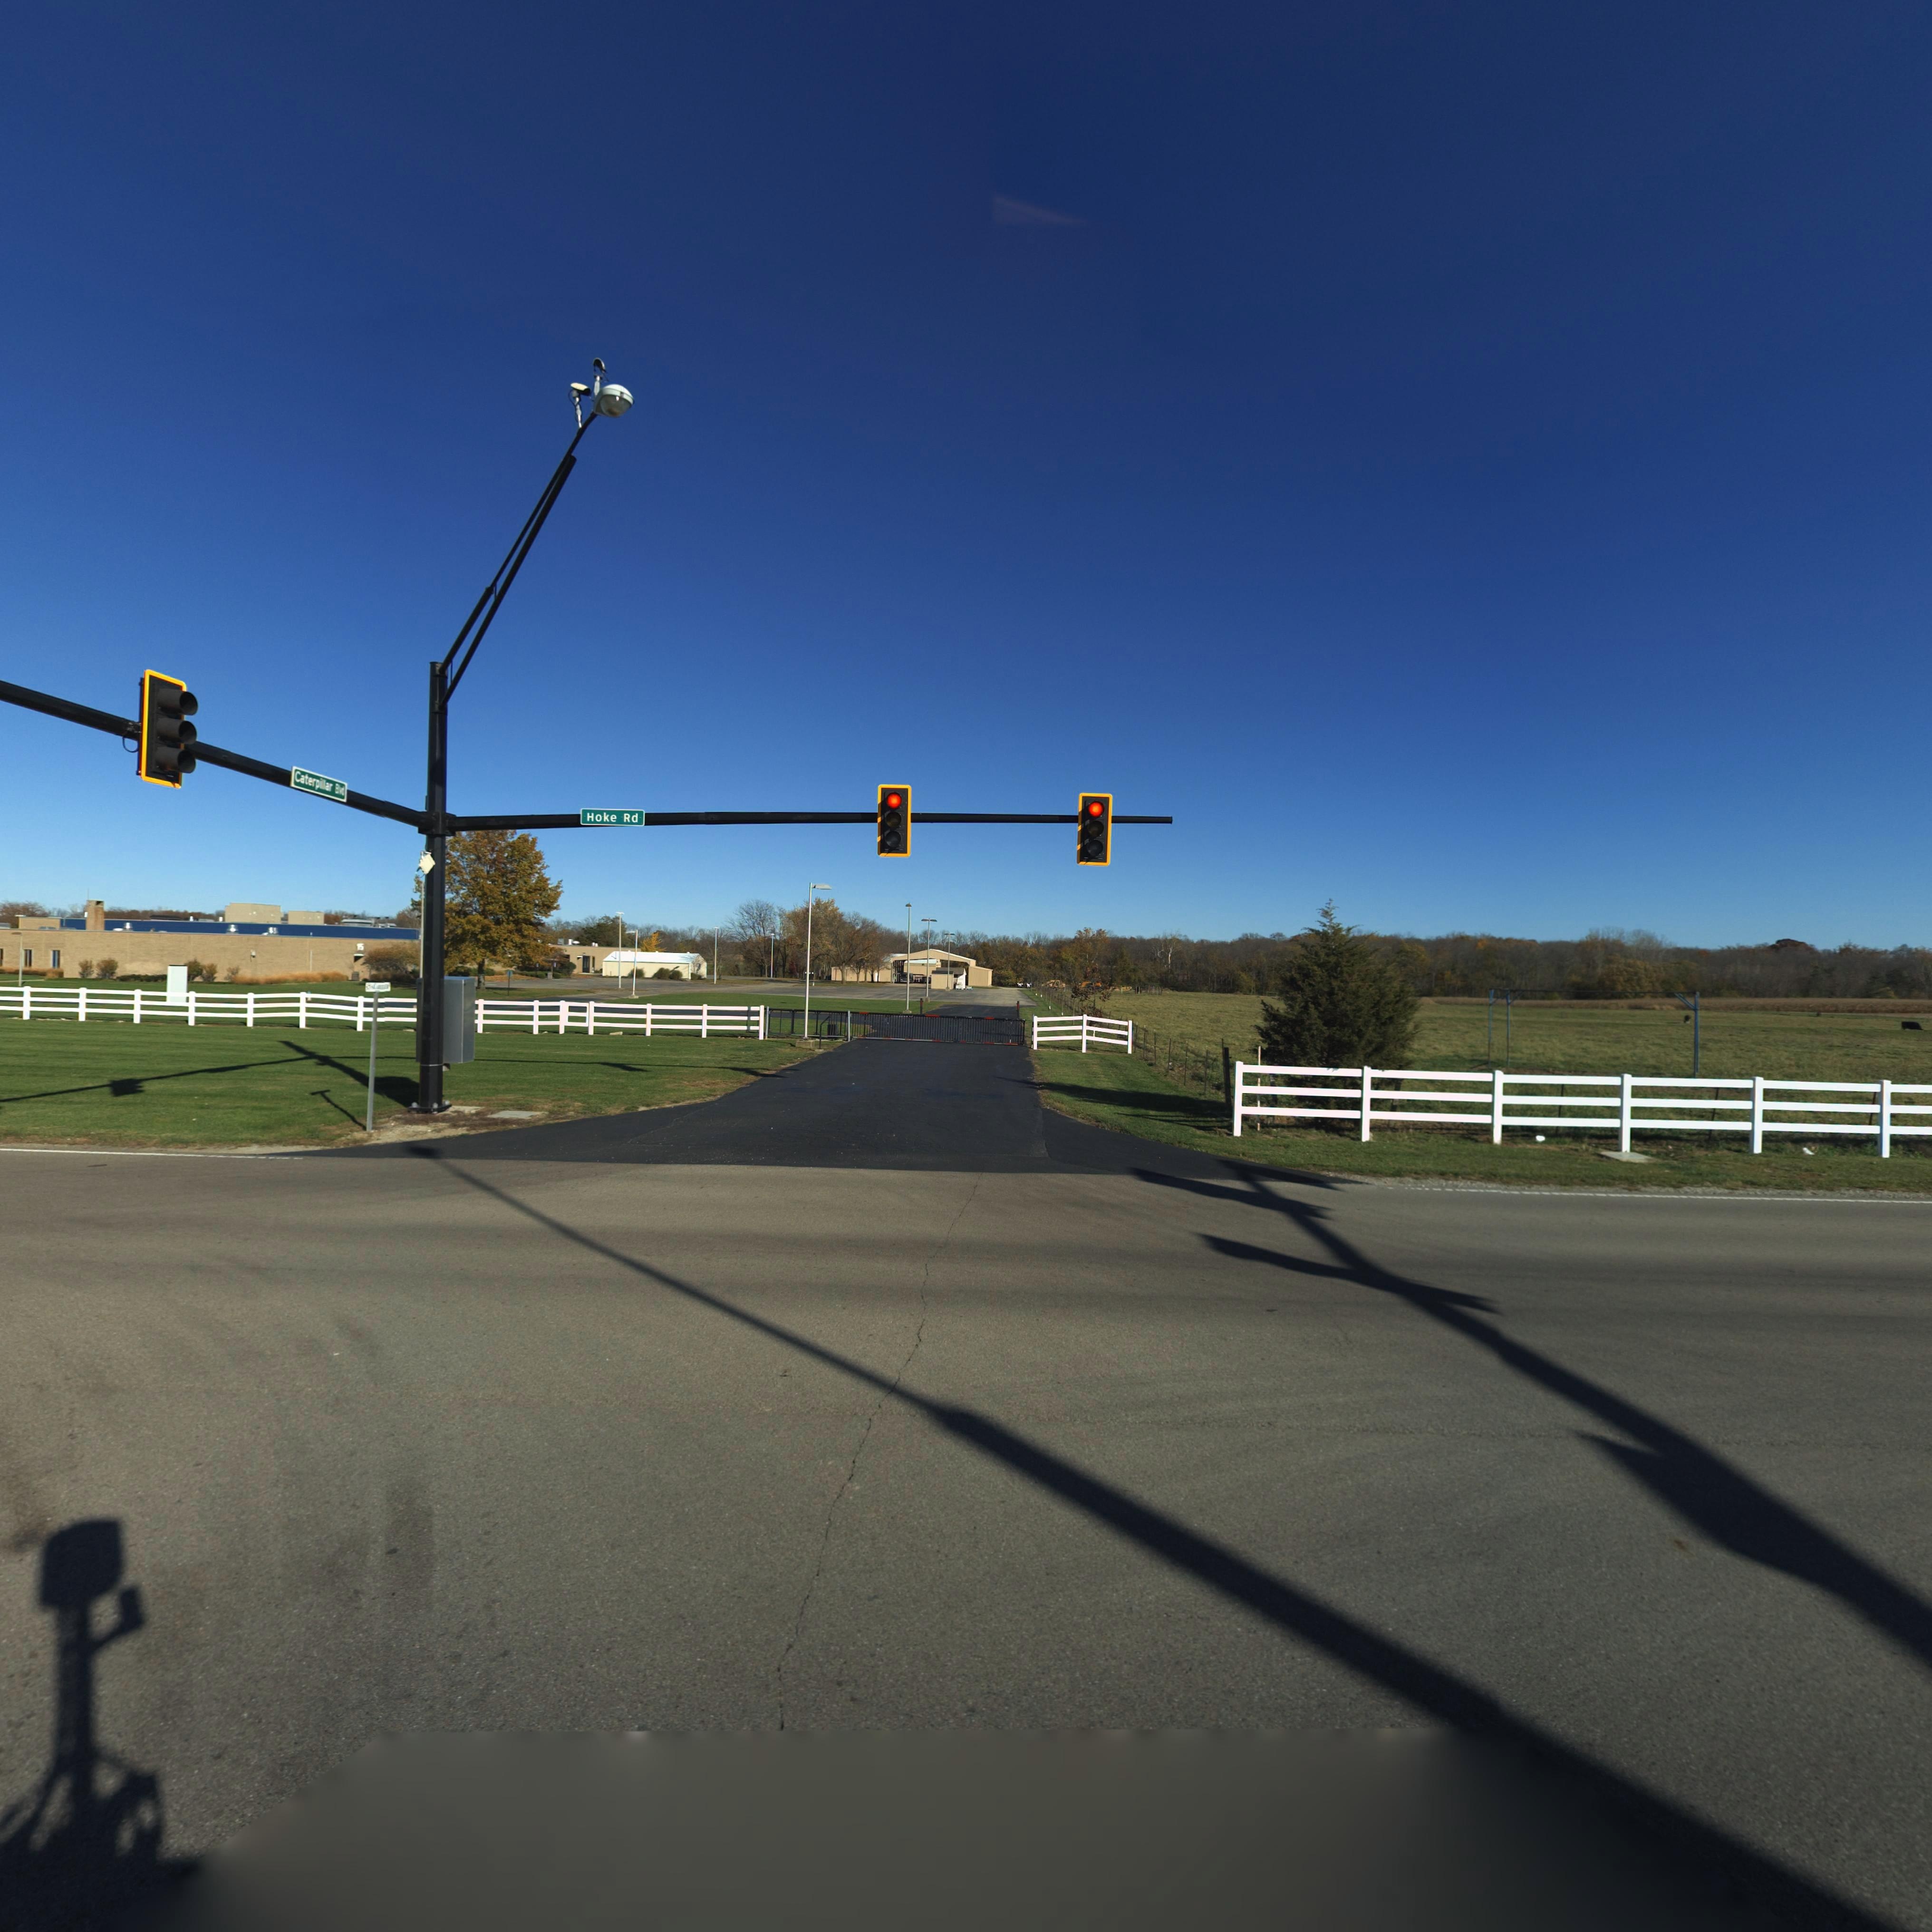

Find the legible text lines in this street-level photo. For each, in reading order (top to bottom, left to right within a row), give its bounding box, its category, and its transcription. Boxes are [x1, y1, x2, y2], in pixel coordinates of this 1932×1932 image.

[356, 943, 364, 951] StreetNumber: 15